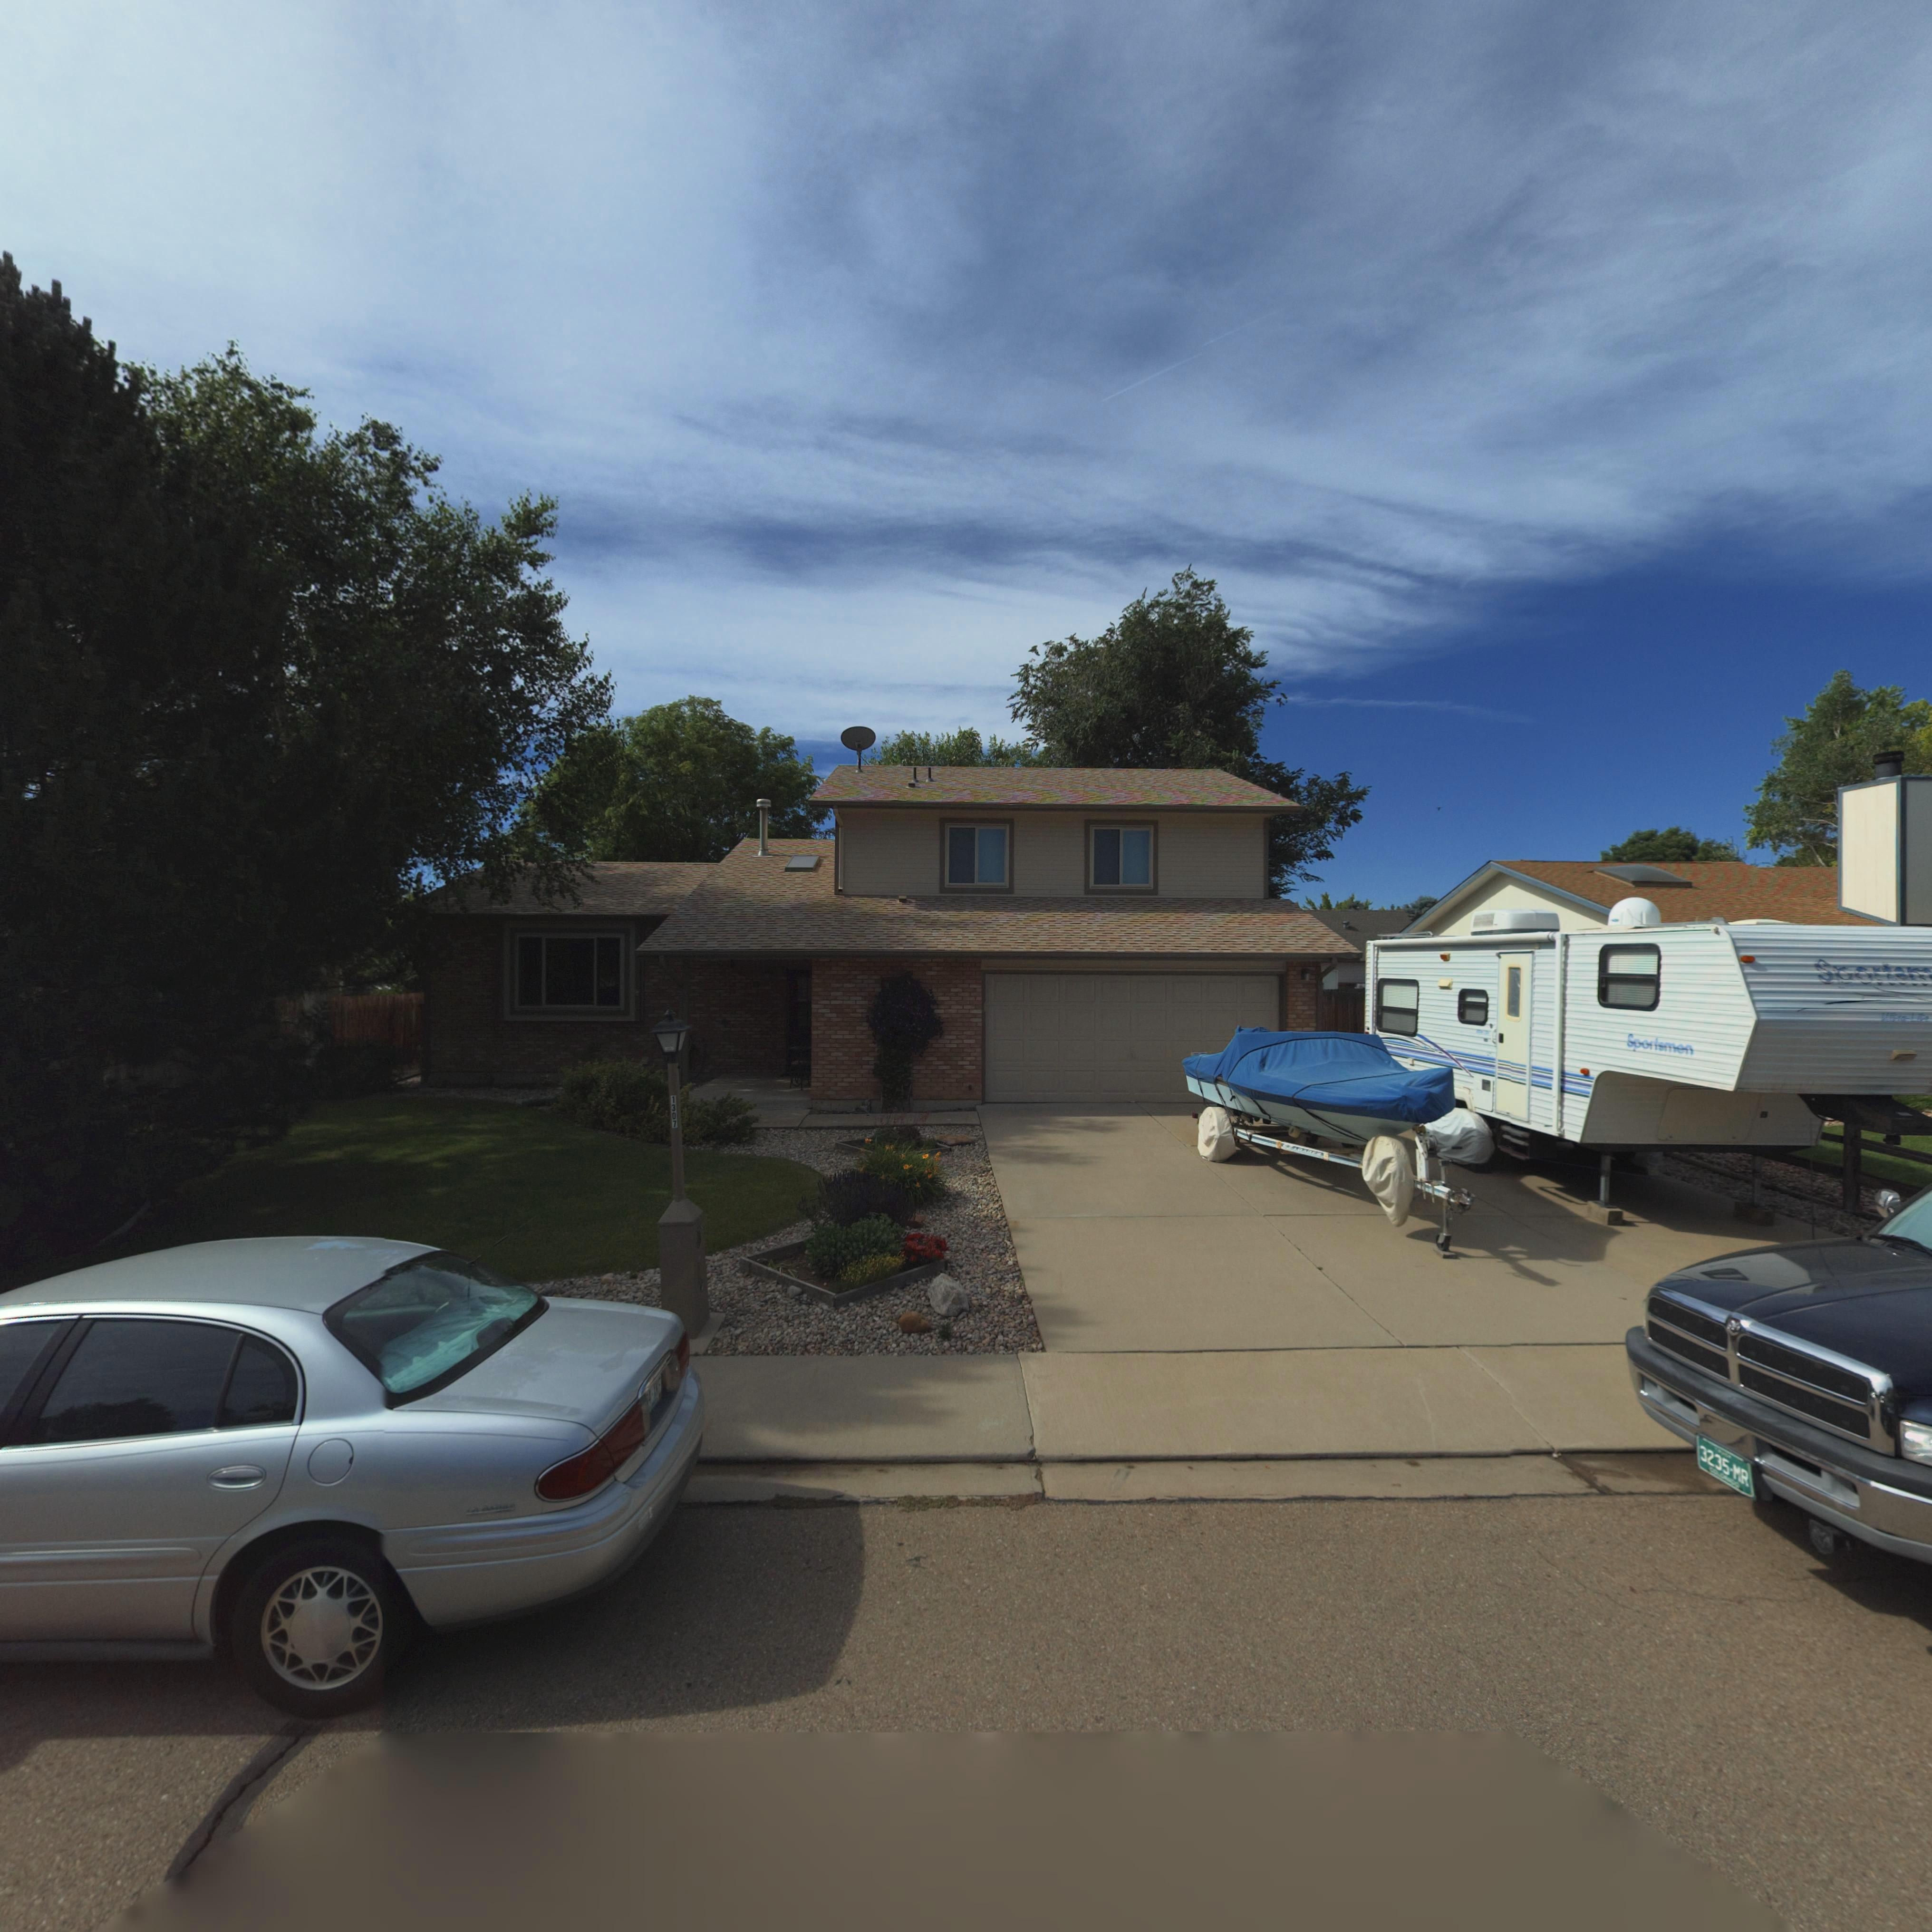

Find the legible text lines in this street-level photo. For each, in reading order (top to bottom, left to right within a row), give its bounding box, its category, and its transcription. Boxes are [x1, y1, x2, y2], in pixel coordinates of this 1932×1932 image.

[671, 1095, 677, 1128] StreetNumber: 1307